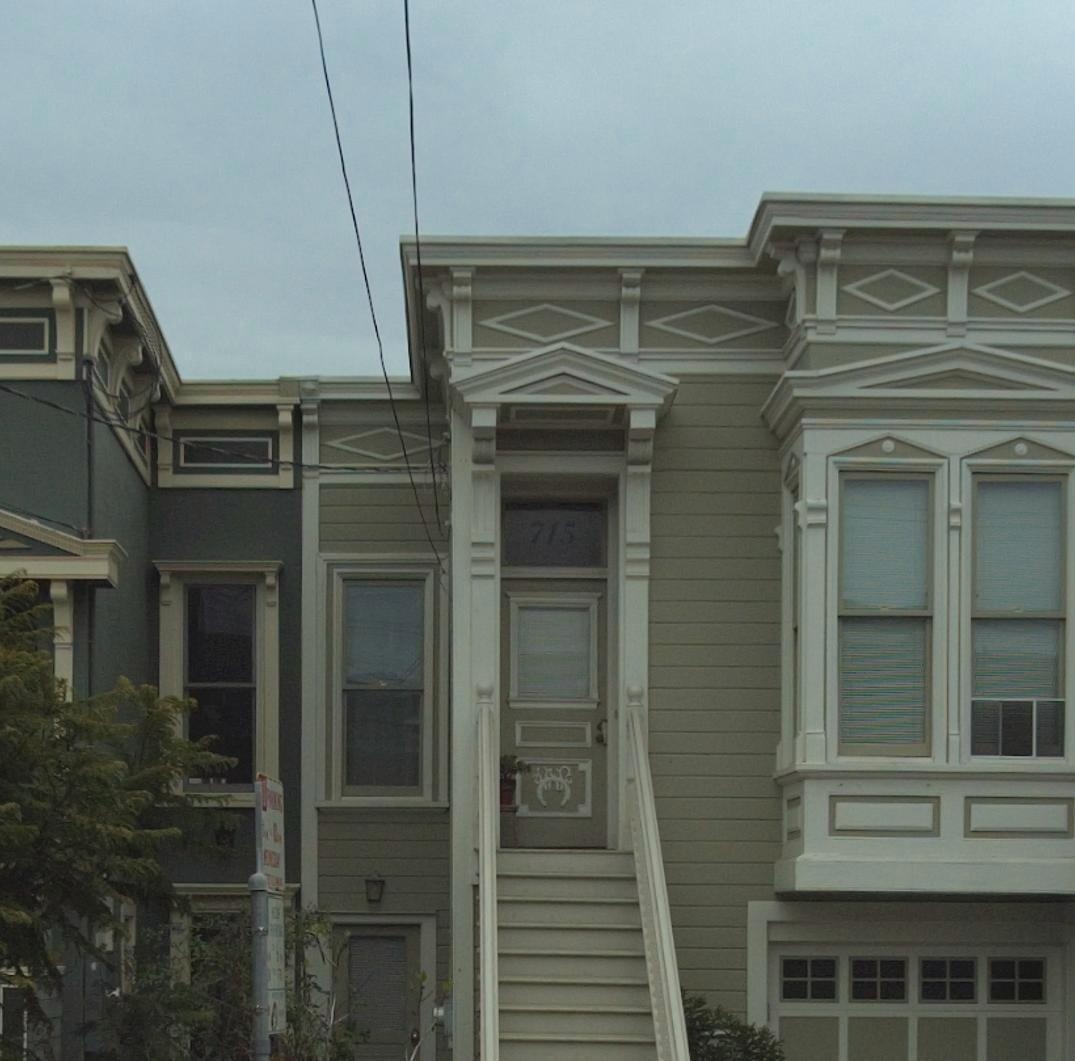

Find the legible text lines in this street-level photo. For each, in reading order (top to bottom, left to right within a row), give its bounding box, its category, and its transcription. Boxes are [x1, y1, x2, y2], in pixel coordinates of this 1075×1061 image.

[529, 521, 576, 545] StreetNumber: 715